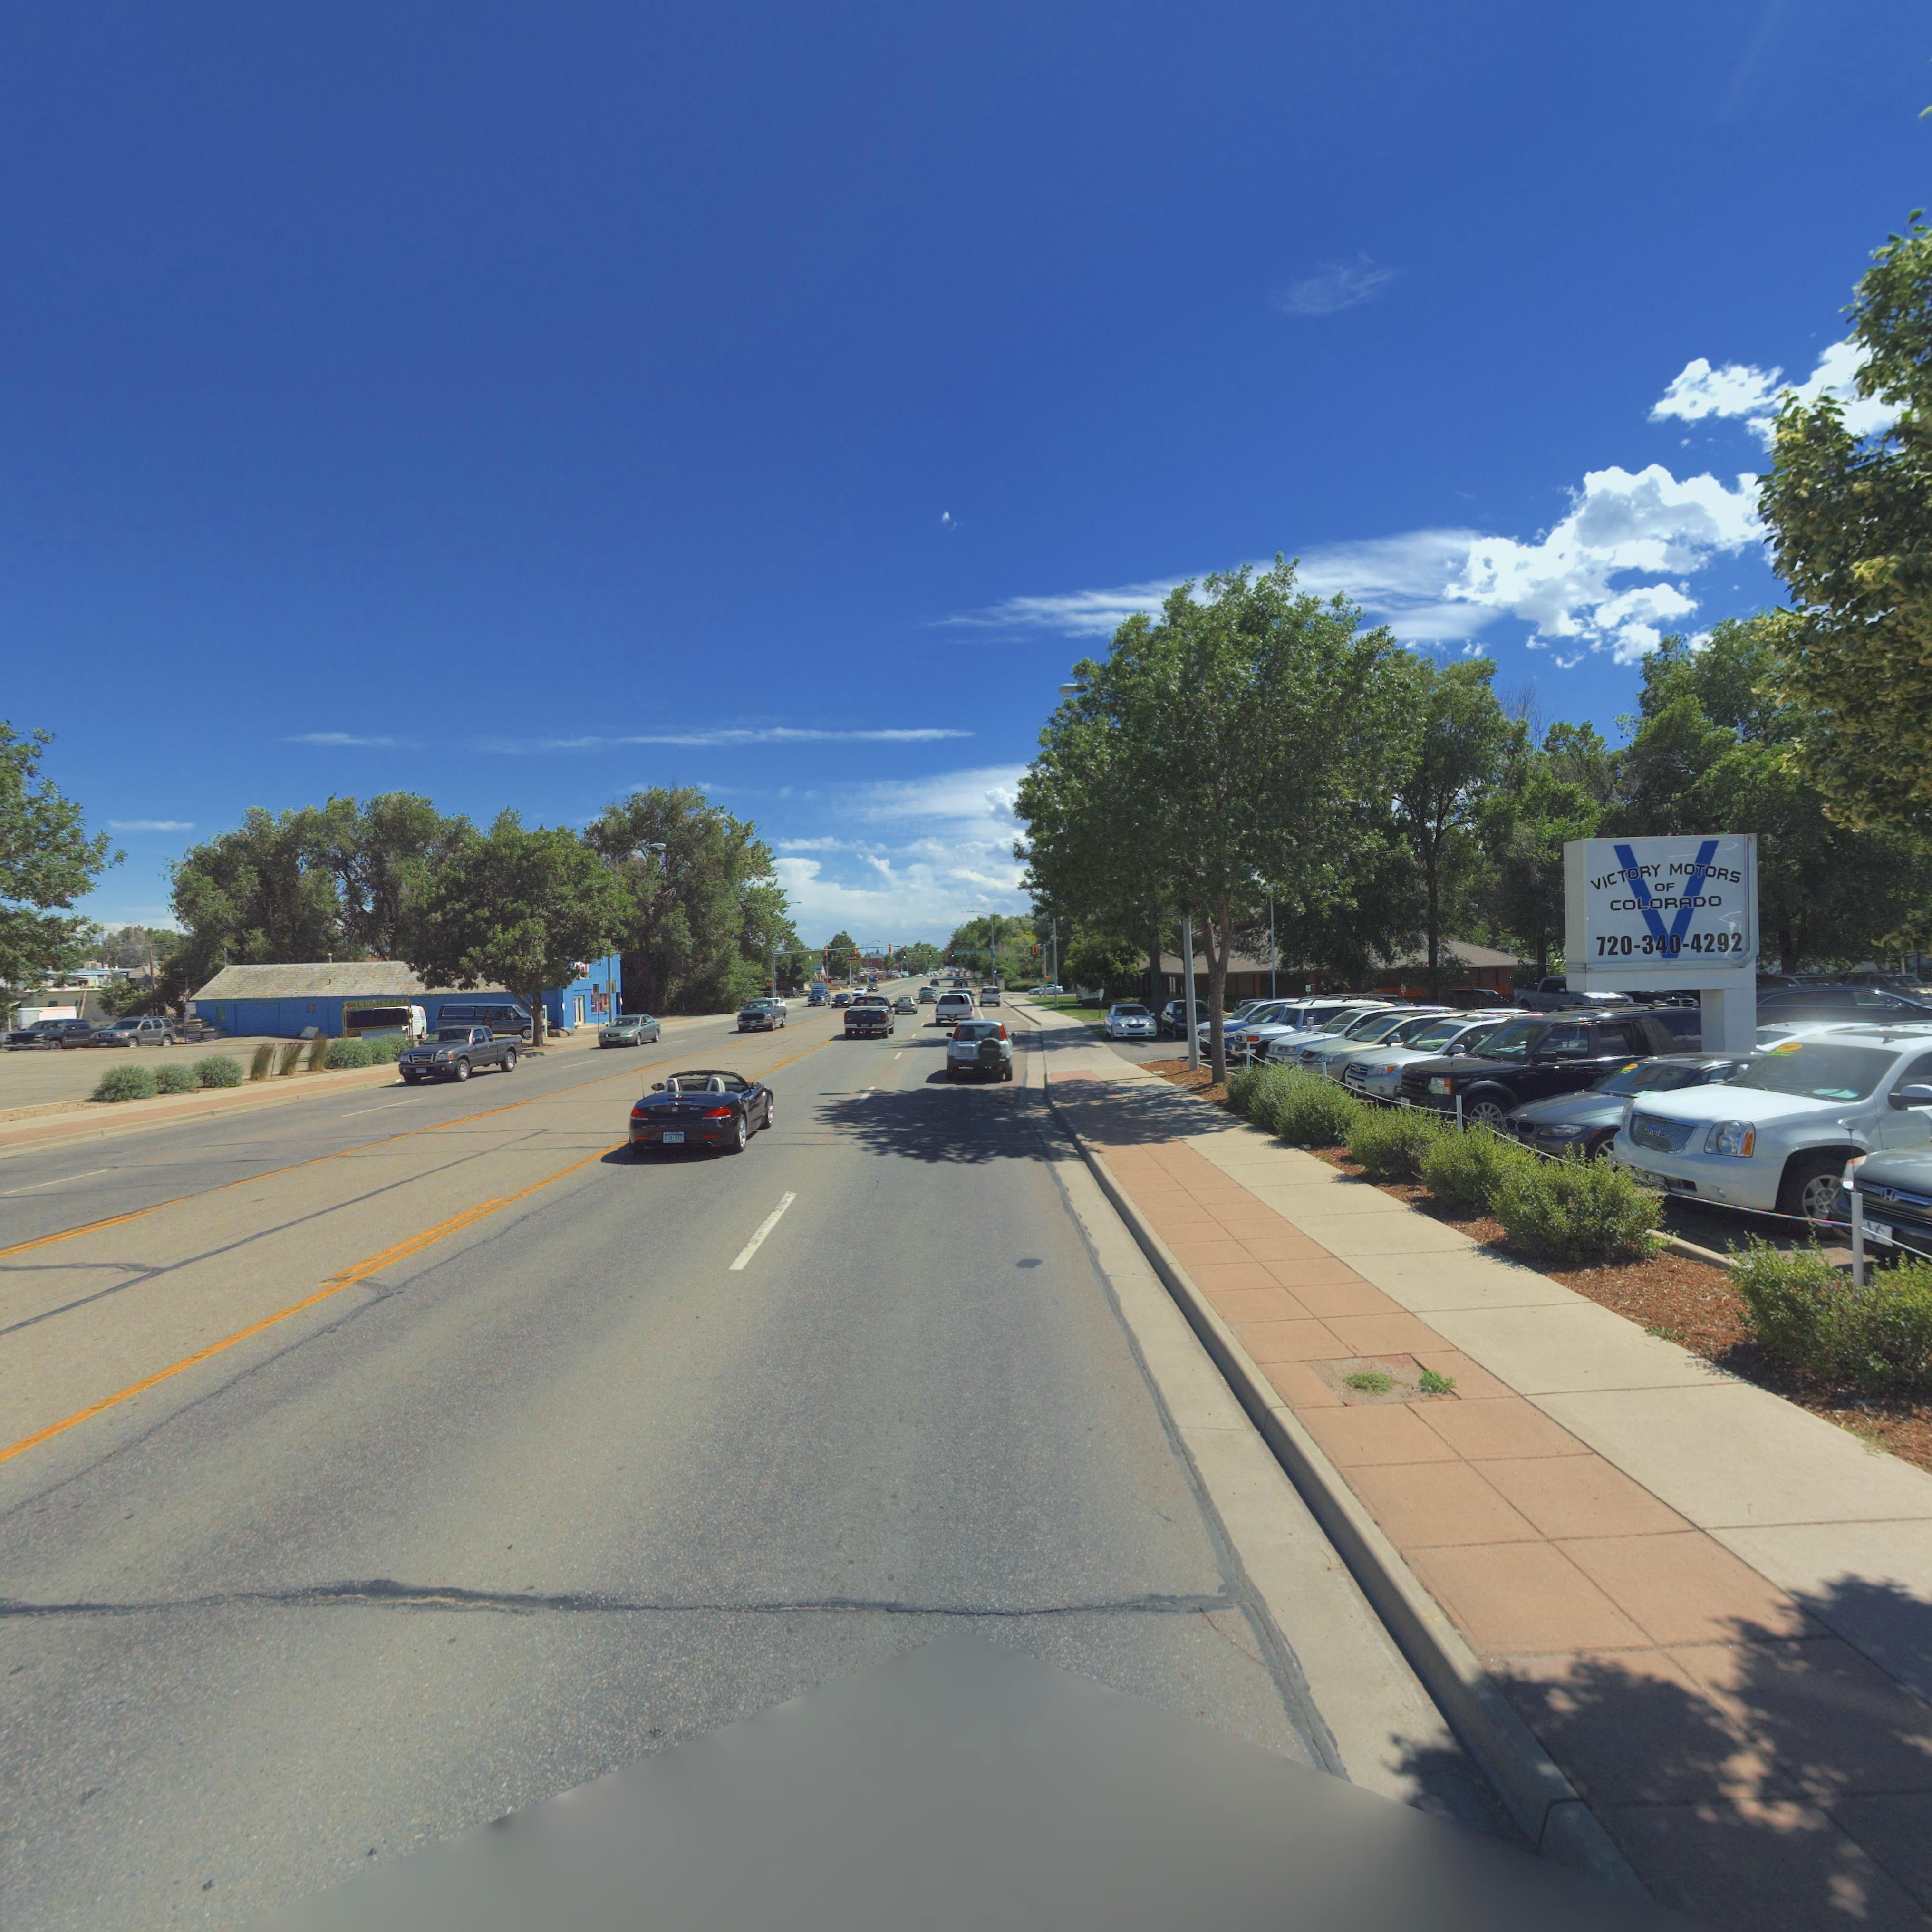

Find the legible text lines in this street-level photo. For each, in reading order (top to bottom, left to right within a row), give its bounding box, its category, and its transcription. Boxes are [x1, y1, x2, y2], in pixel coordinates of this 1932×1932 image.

[1589, 863, 1741, 892] BusinessName: VICTORY MOTORS
[1655, 882, 1675, 891] BusinessName: OF
[1609, 895, 1722, 912] BusinessName: COLORADO